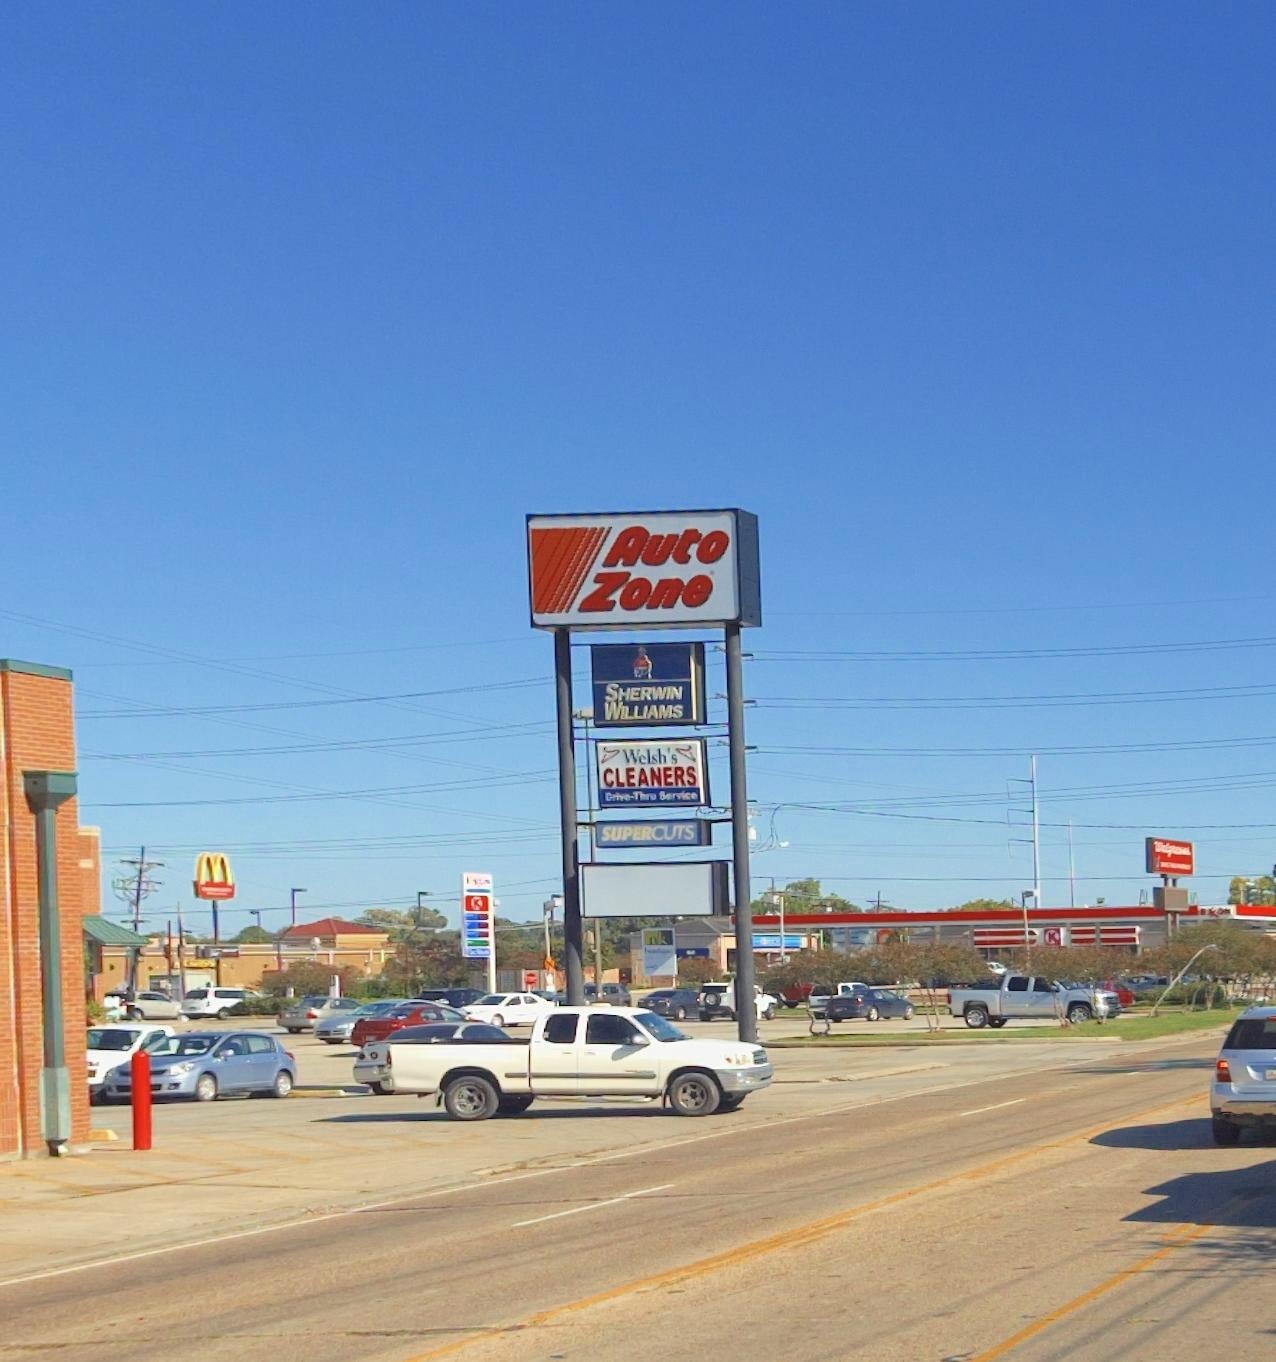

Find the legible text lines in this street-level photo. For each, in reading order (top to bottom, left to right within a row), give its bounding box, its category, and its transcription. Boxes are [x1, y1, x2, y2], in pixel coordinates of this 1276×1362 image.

[596, 525, 735, 569] BusinessName: Auto
[571, 571, 718, 616] BusinessName: Zone
[604, 683, 684, 702] BusinessName: SHERWIN
[603, 701, 685, 721] BusinessName: WILLIAMS
[622, 747, 678, 766] BusinessName: Welsh's
[603, 765, 697, 790] BusinessName: CLEANERS
[604, 789, 699, 803] None: Drive-Thru Service
[599, 822, 695, 843] BusinessName: SUPERCUTS
[472, 897, 483, 911] BusinessName: K
[1047, 931, 1057, 944] BusinessName: K